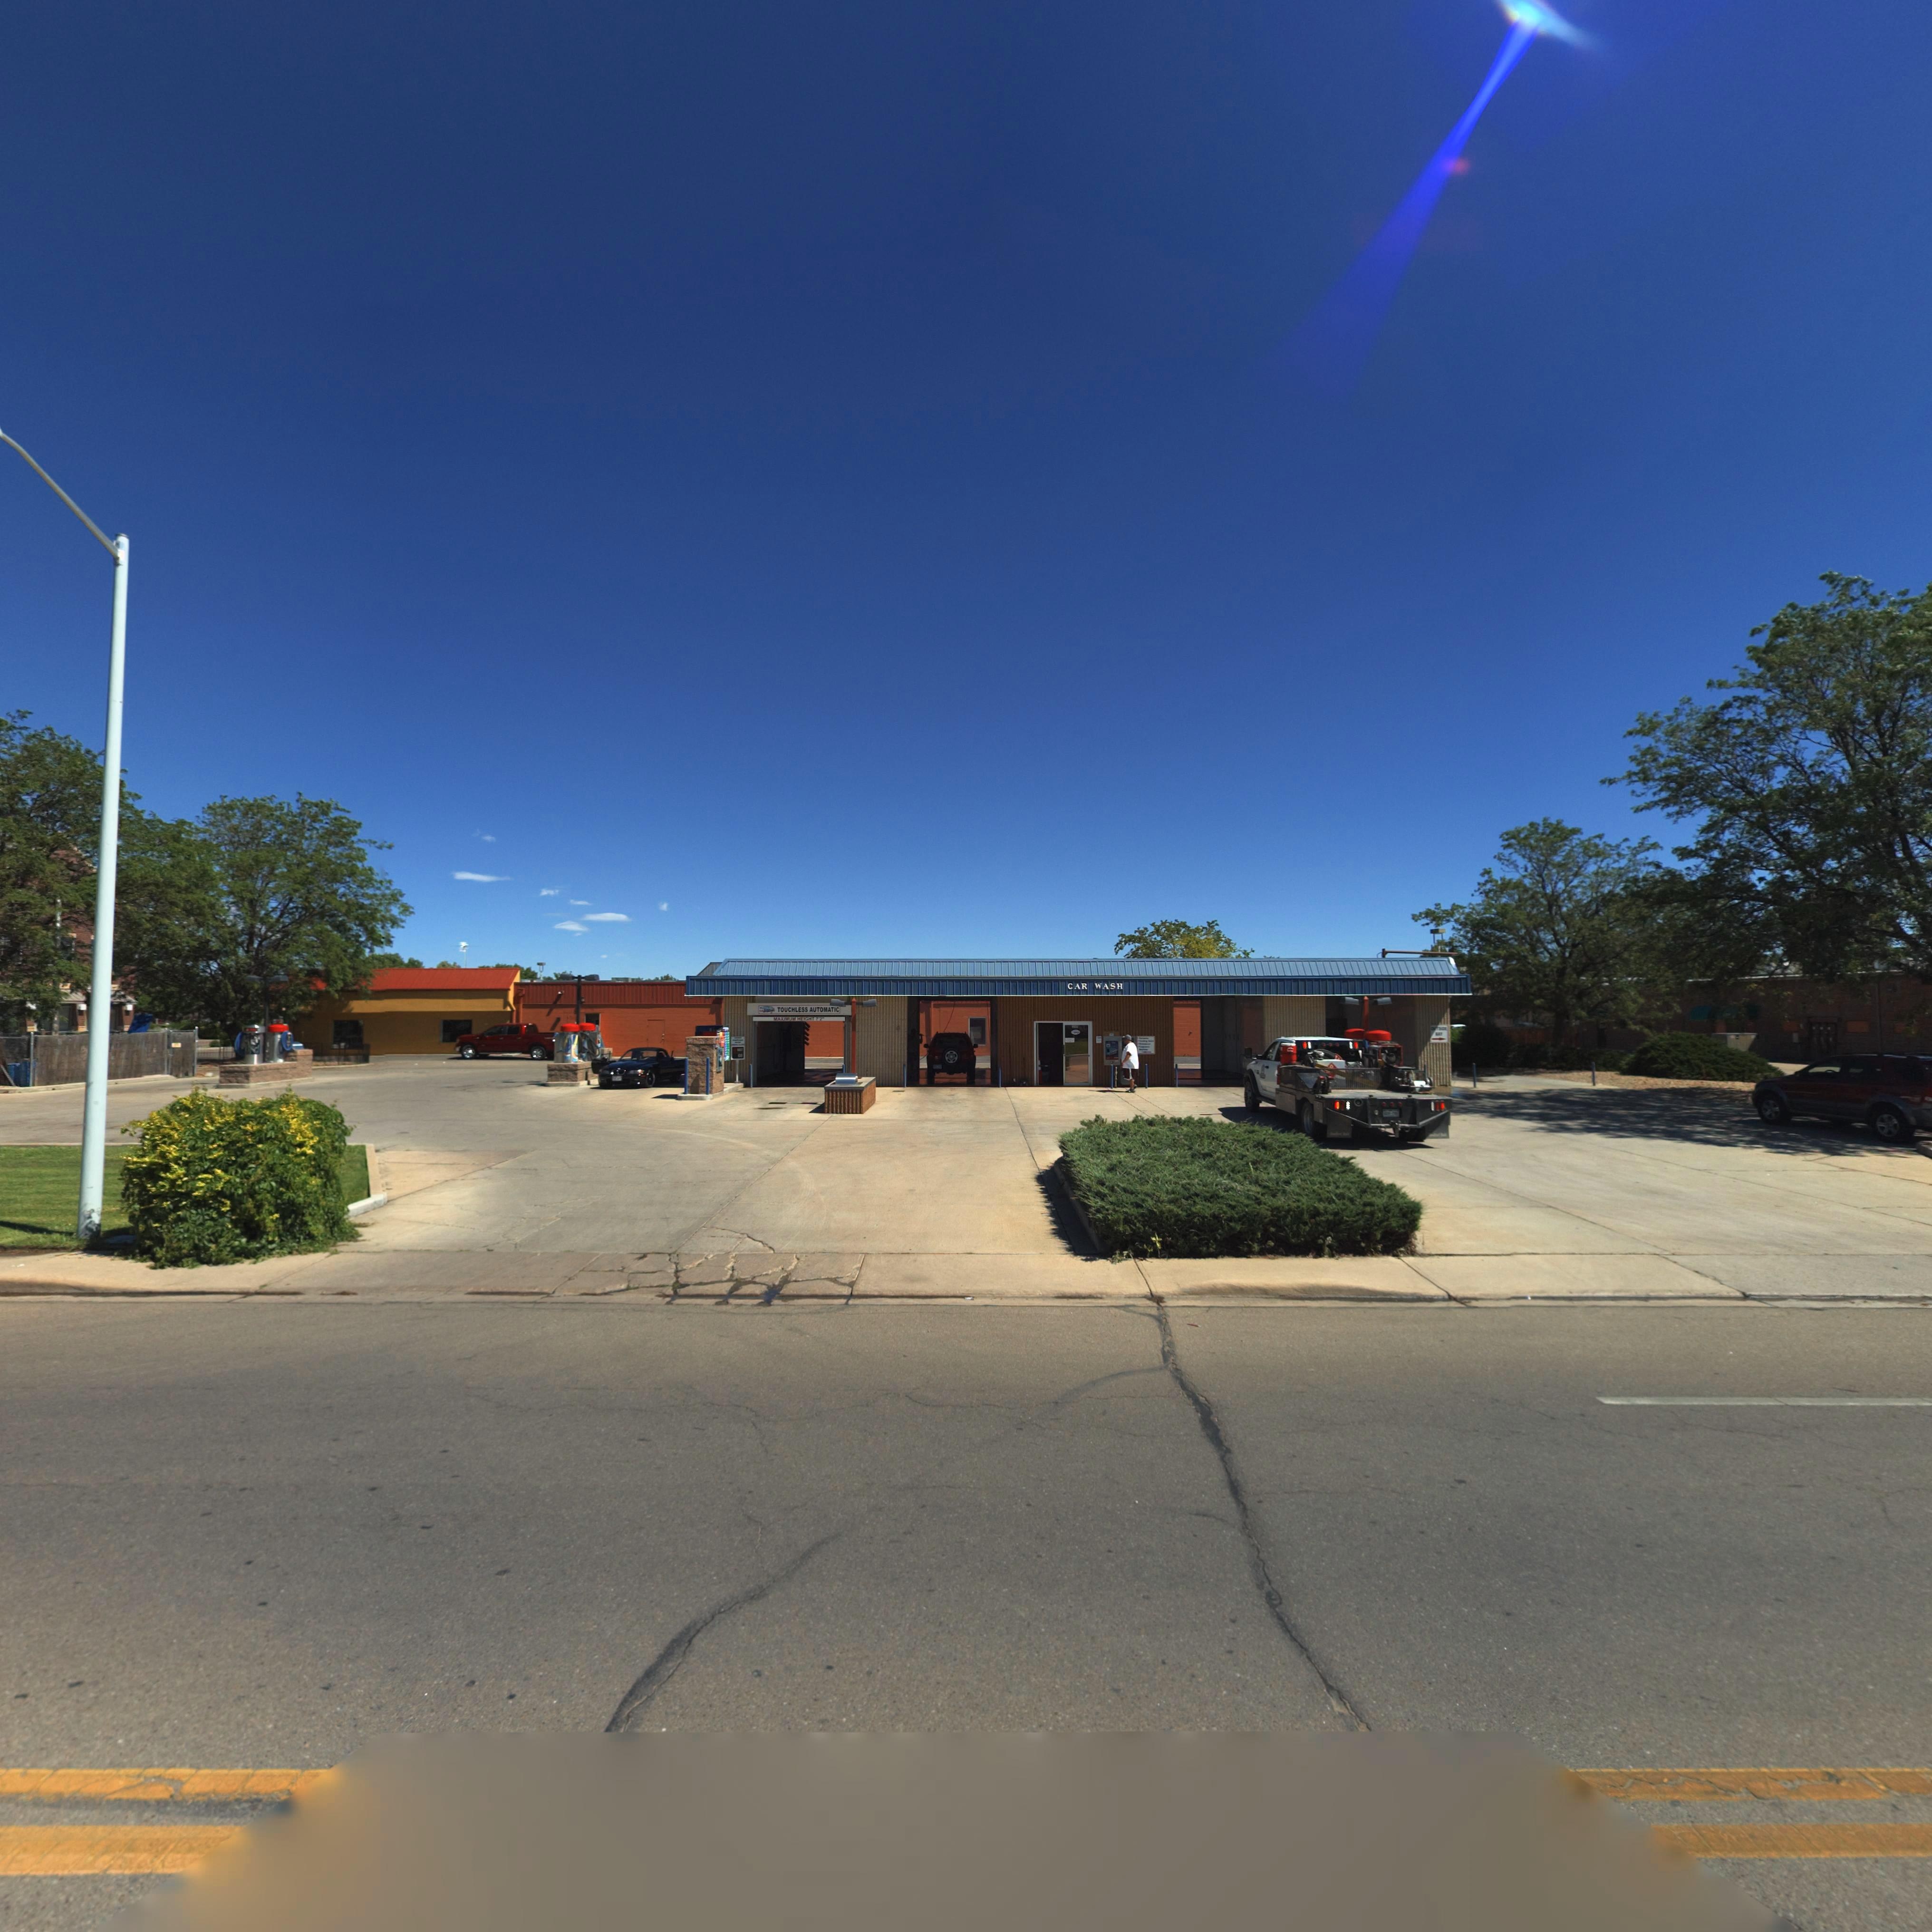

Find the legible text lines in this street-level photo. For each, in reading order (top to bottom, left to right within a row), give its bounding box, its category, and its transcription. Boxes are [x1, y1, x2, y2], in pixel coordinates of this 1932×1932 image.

[1066, 982, 1124, 989] BusinessName: CAR WASH